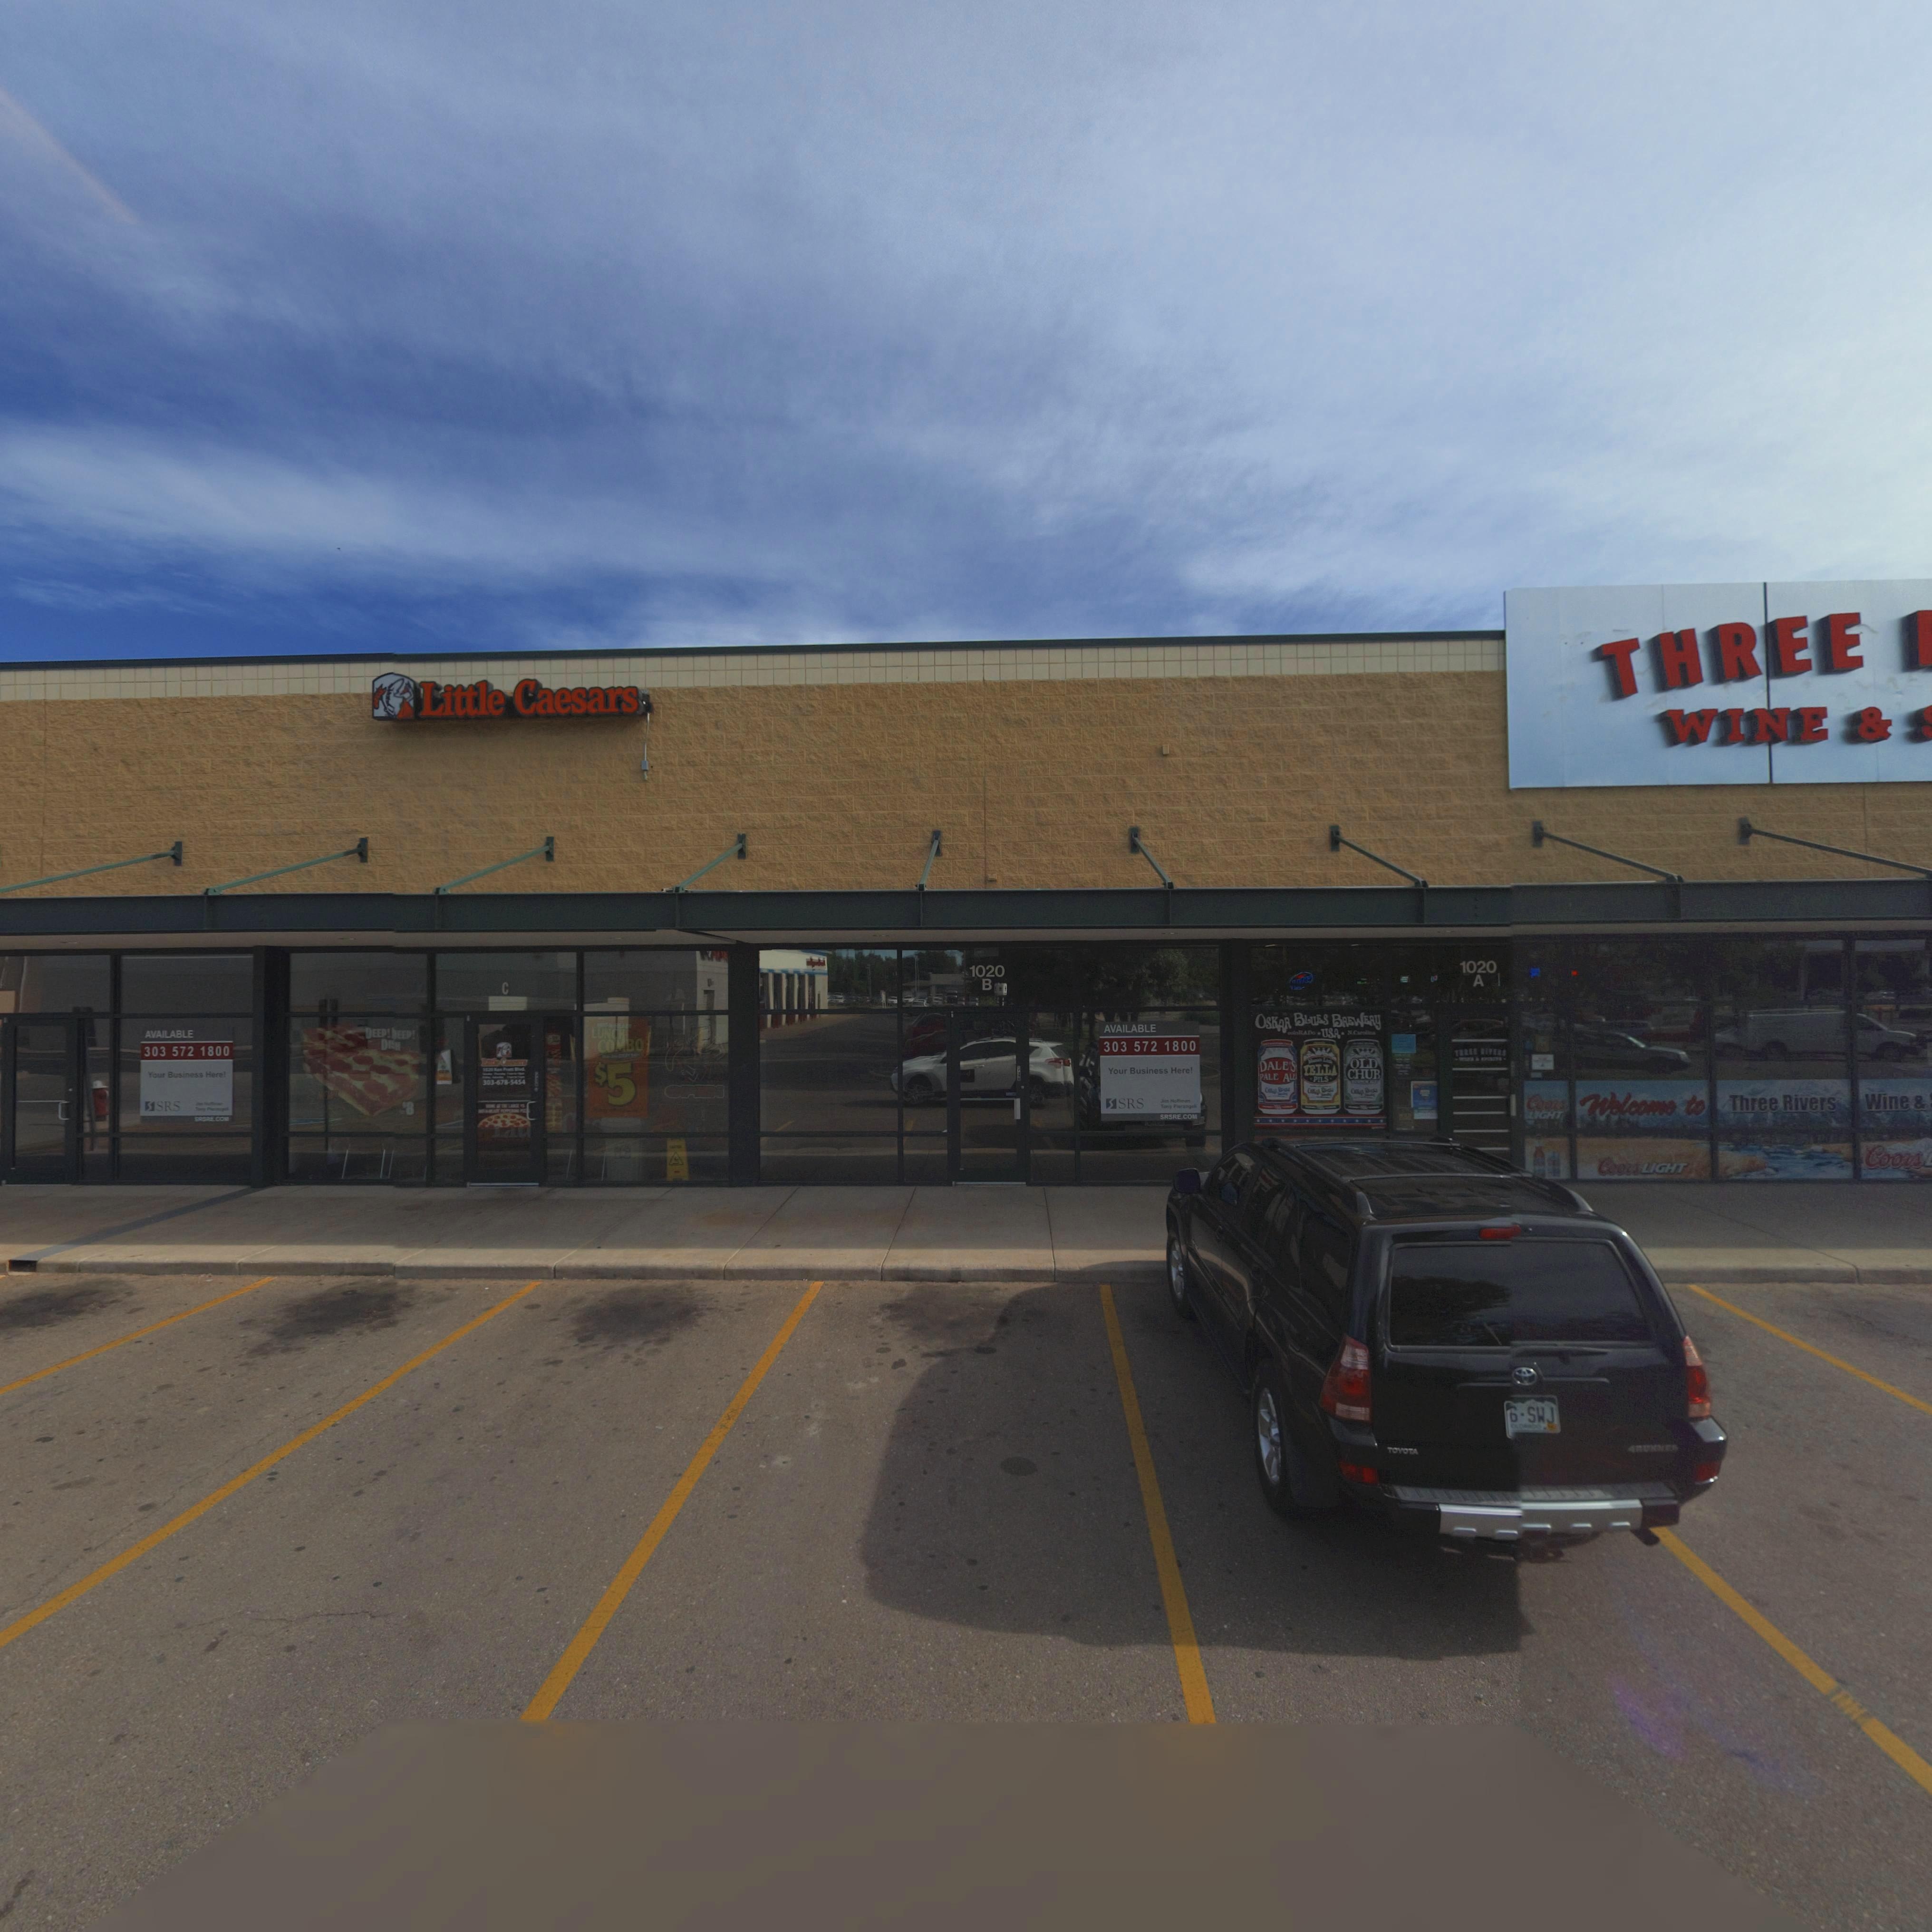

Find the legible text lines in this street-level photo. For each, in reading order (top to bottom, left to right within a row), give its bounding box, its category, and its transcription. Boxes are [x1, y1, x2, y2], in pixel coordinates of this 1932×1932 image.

[1598, 610, 1864, 699] BusinessName: THREE
[420, 679, 639, 716] BusinessName: Little Caesars
[1665, 705, 1893, 743] BusinessName: WINE &
[969, 965, 1005, 977] StreetNumber: 1020
[1459, 960, 1497, 973] StreetNumber: 1020
[1454, 1048, 1506, 1057] None: TH*** RI***S
[481, 1057, 527, 1066] BusinessName: L***** C******
[1728, 1094, 1836, 1111] BusinessName: Three Rivers
[1864, 1093, 1927, 1111] BusinessName: Wine &